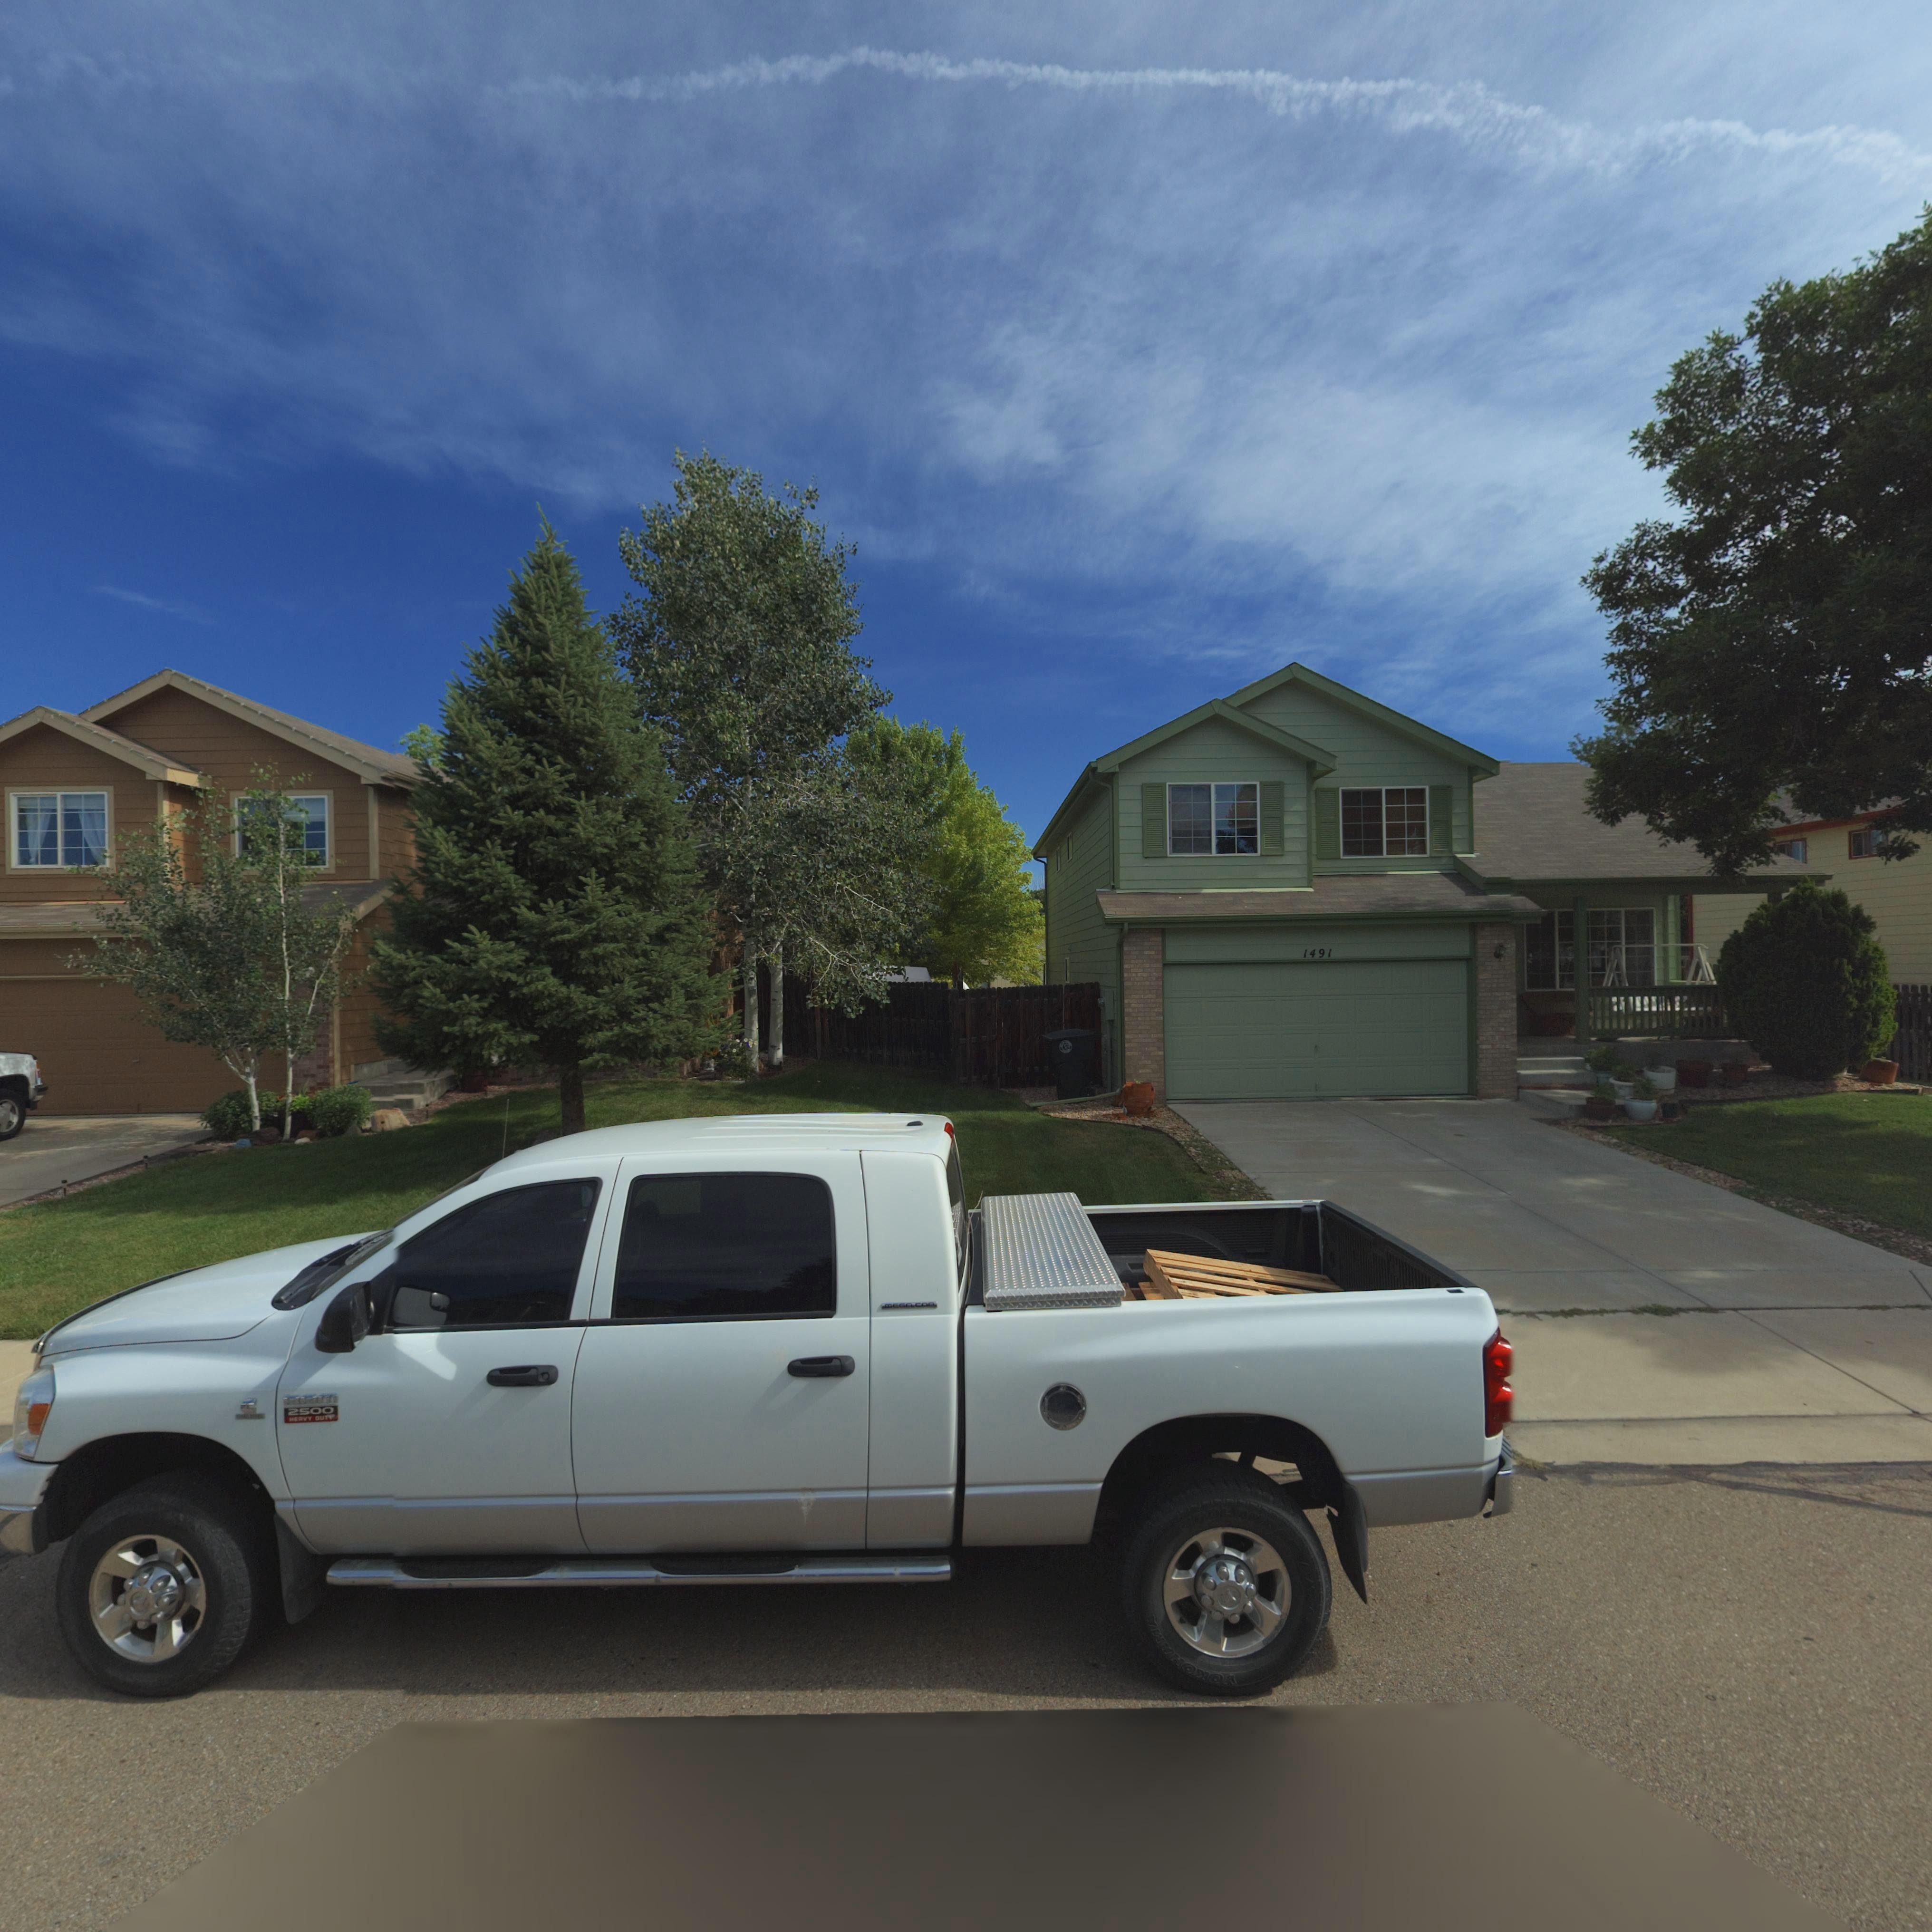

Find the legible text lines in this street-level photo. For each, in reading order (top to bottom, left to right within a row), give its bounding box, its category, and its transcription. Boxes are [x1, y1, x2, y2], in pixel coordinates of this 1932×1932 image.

[1302, 947, 1333, 958] StreetNumber: 1491